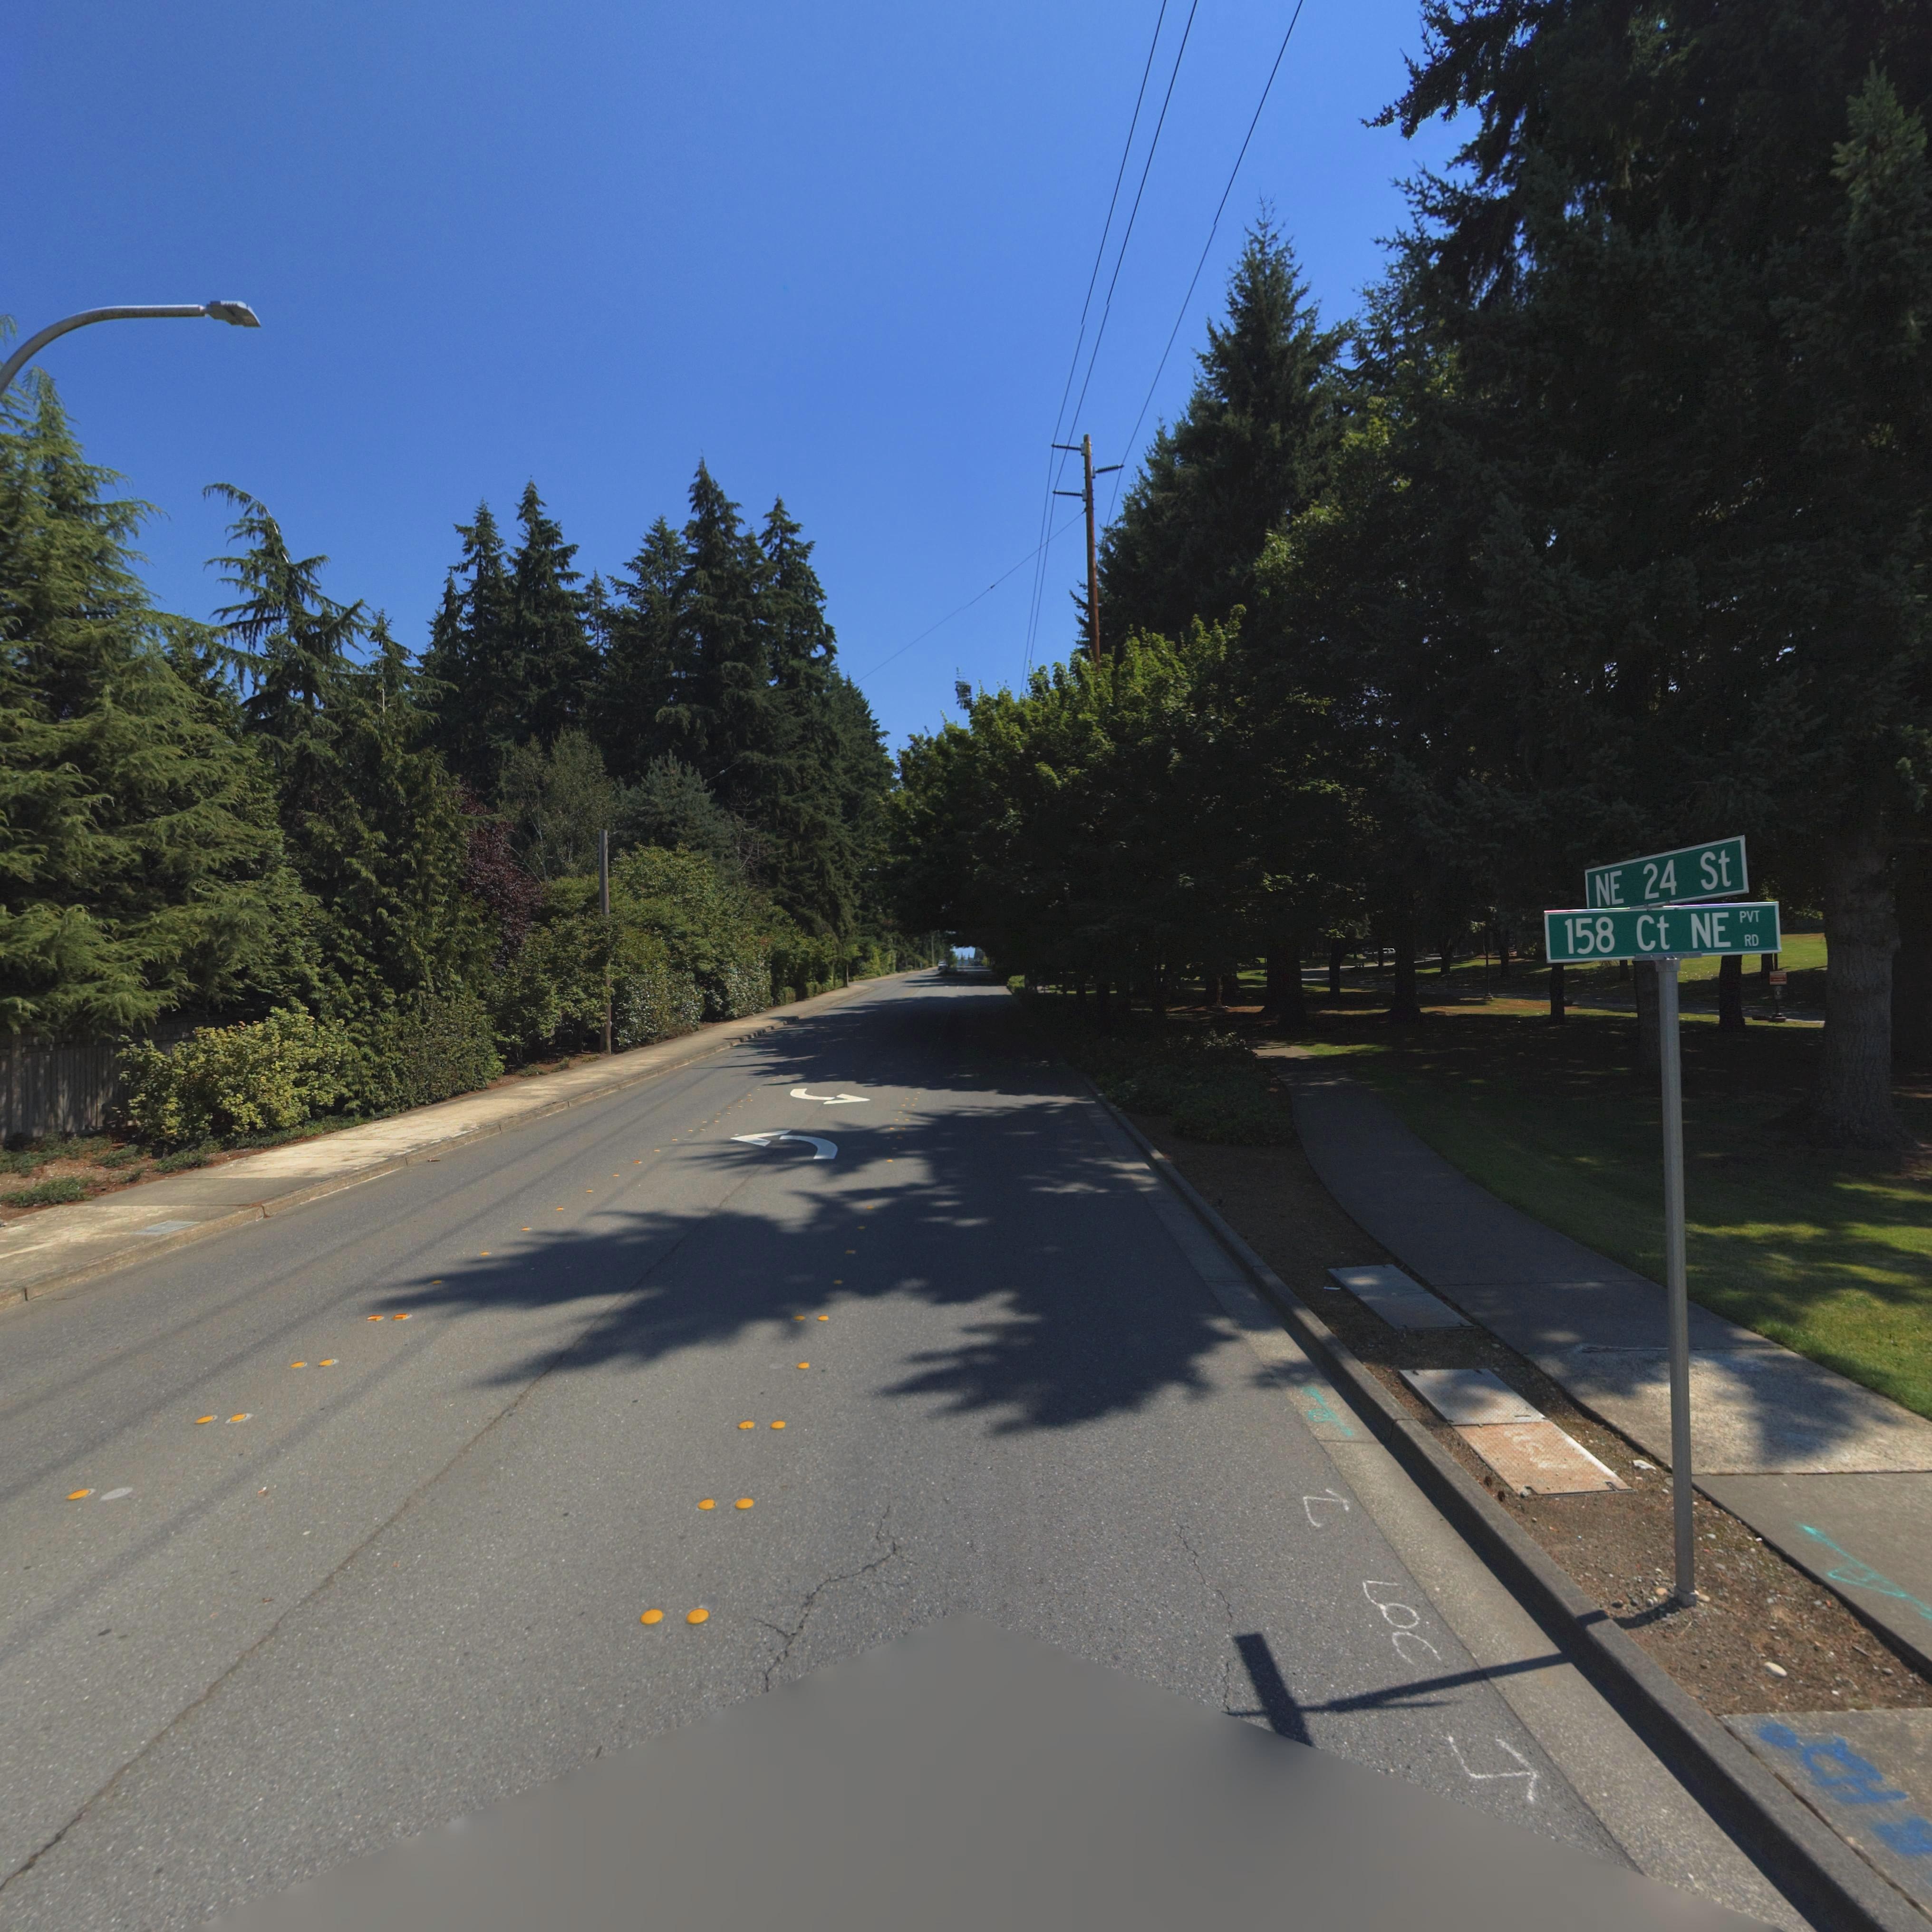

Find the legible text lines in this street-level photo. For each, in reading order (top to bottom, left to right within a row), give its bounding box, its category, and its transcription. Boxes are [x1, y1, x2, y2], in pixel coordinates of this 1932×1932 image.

[1592, 850, 1734, 907] StreetName: NE 24 St
[1563, 911, 1733, 953] StreetName: 158 Ct NE